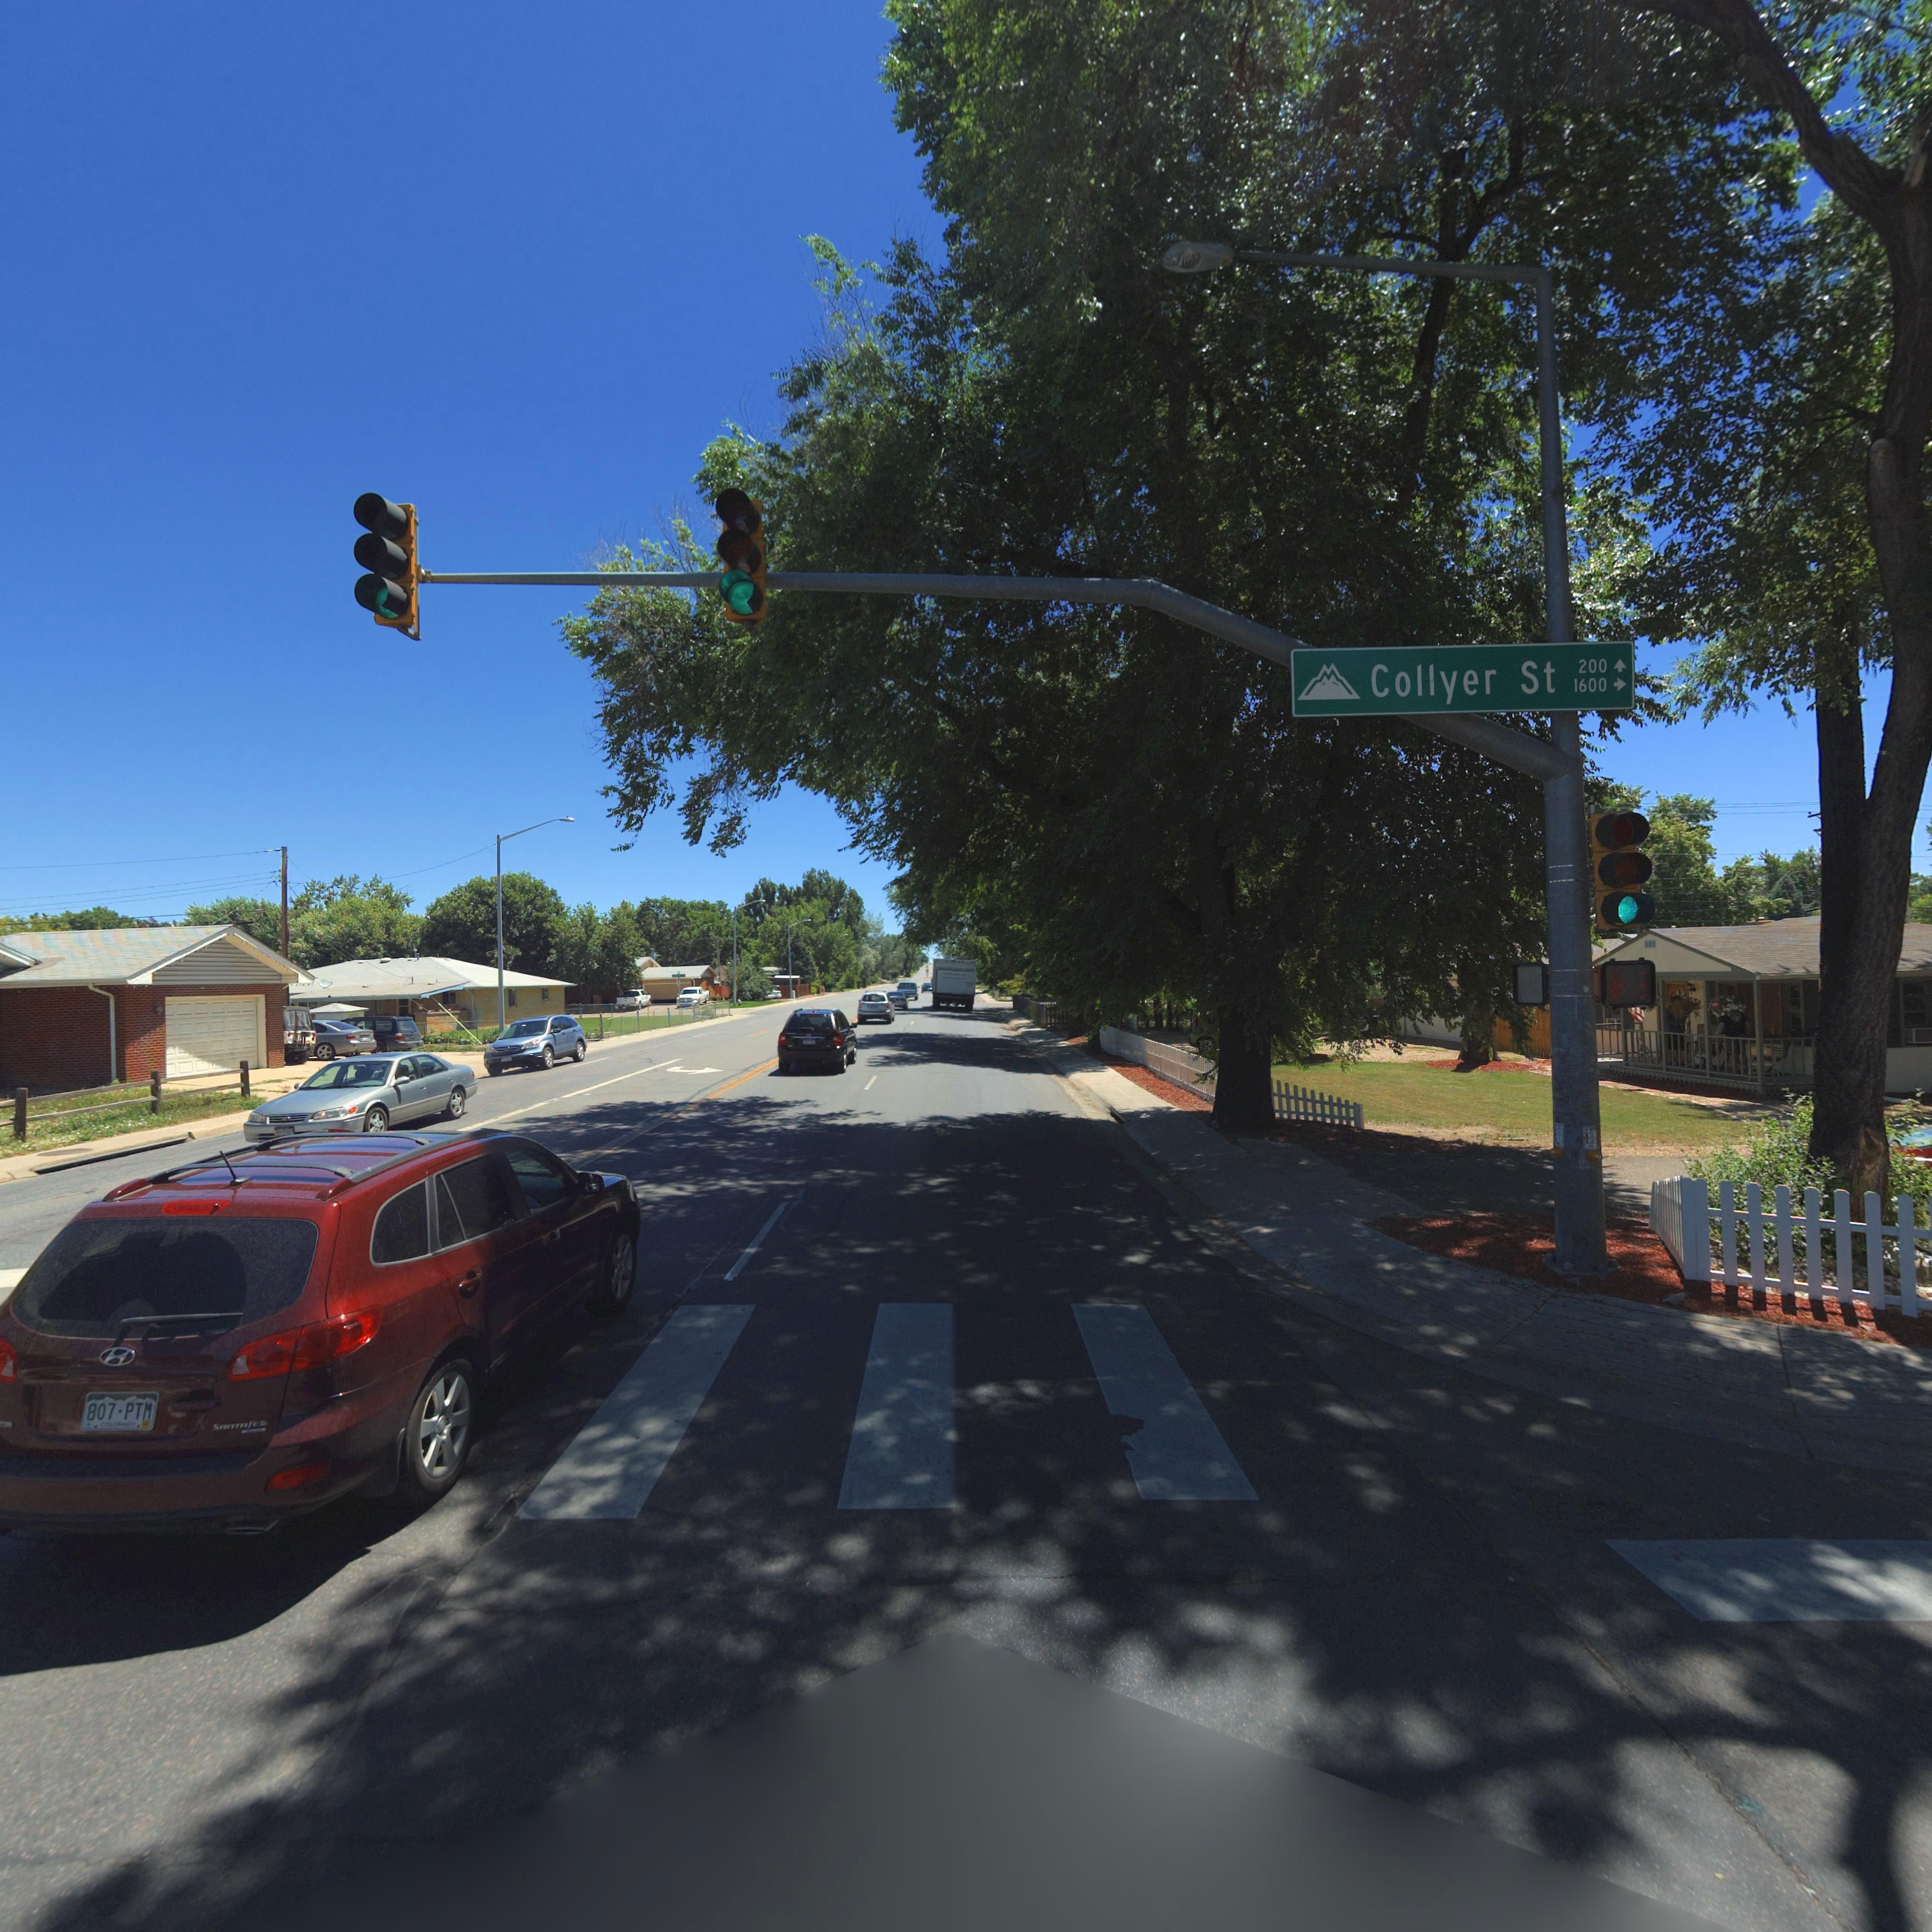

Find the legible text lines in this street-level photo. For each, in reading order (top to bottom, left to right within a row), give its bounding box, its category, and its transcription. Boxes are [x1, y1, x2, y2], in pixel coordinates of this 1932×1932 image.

[1578, 658, 1607, 674] StreetNumberRange: 200
[1370, 660, 1555, 705] StreetName: Collyer St
[1574, 677, 1627, 692] StreetNumberRange: 1600->